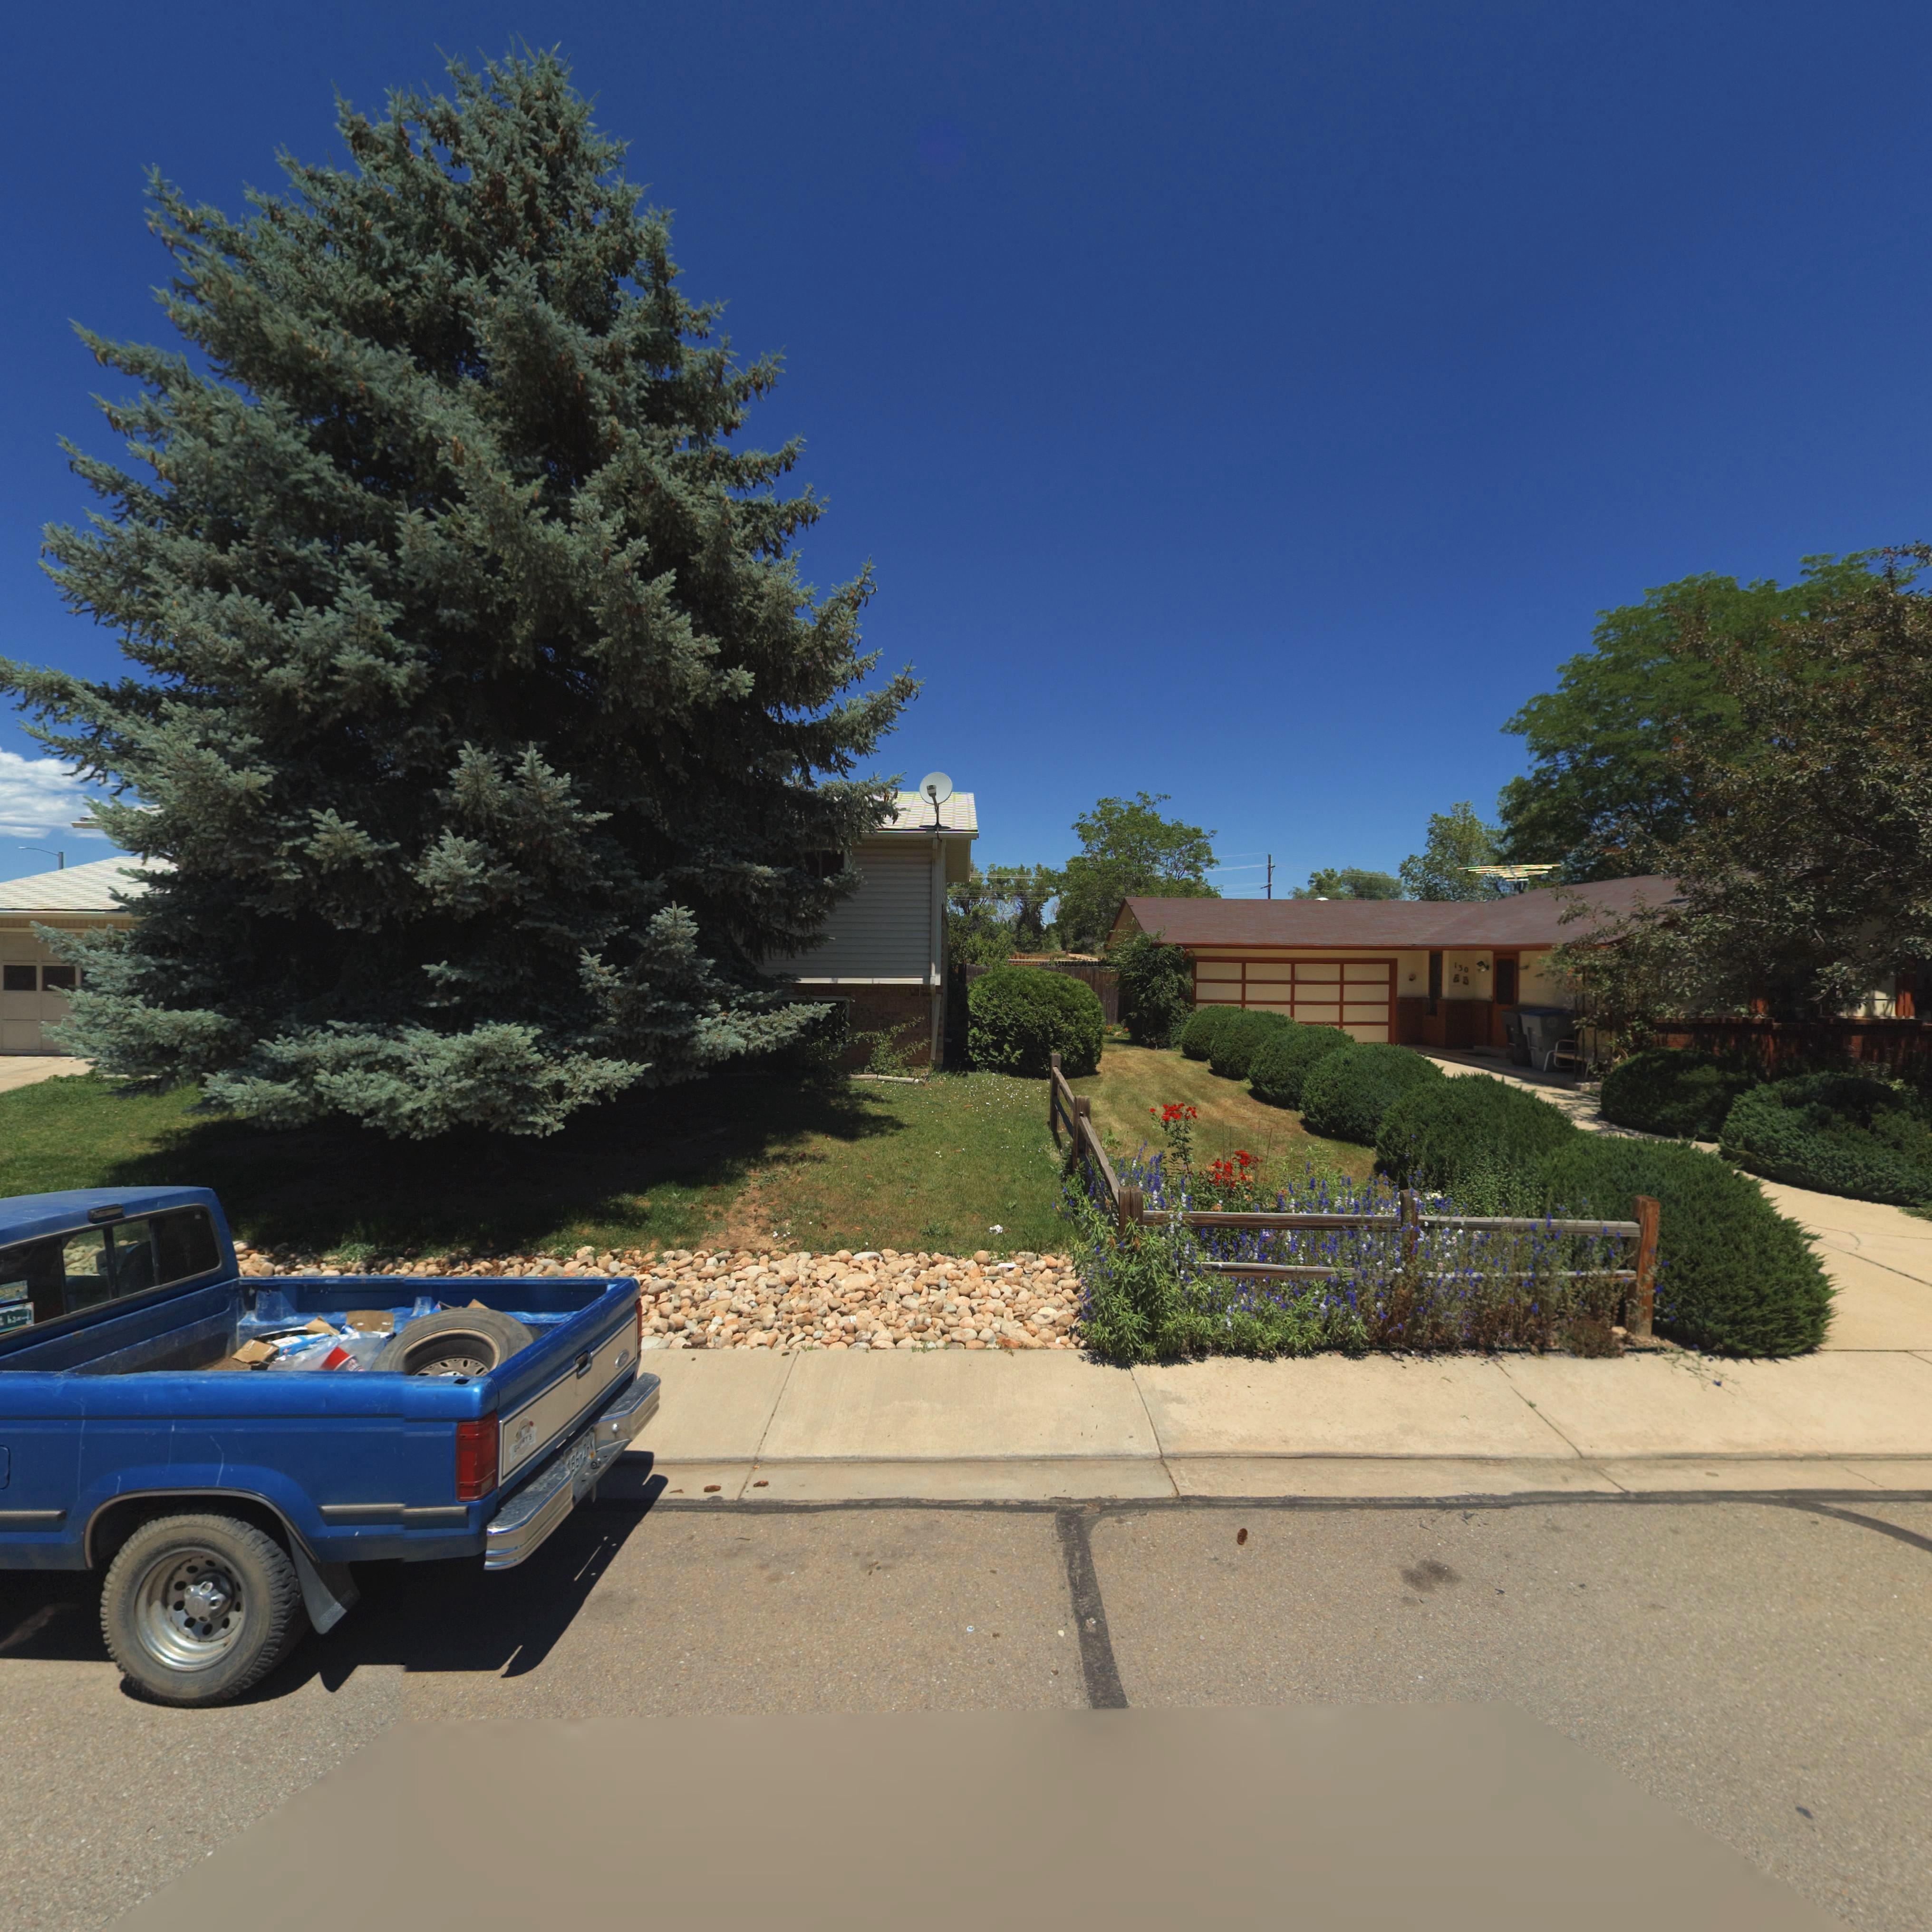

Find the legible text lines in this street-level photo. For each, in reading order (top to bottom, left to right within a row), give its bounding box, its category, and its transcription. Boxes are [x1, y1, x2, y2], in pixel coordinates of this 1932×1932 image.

[1454, 961, 1468, 973] StreetNumber: 130